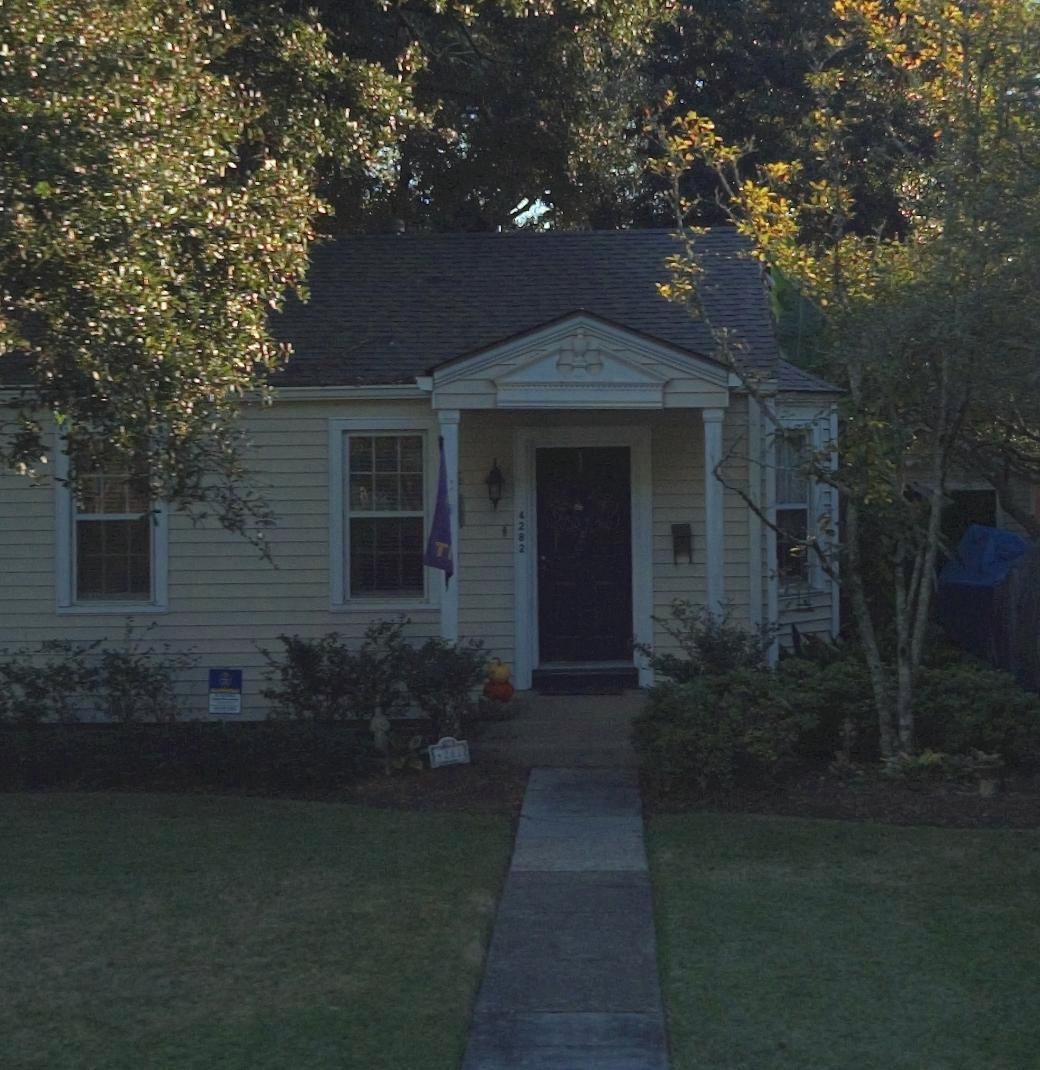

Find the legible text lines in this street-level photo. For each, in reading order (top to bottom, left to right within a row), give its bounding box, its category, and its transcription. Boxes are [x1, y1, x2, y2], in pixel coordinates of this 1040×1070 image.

[516, 508, 527, 555] StreetNumber: 4282